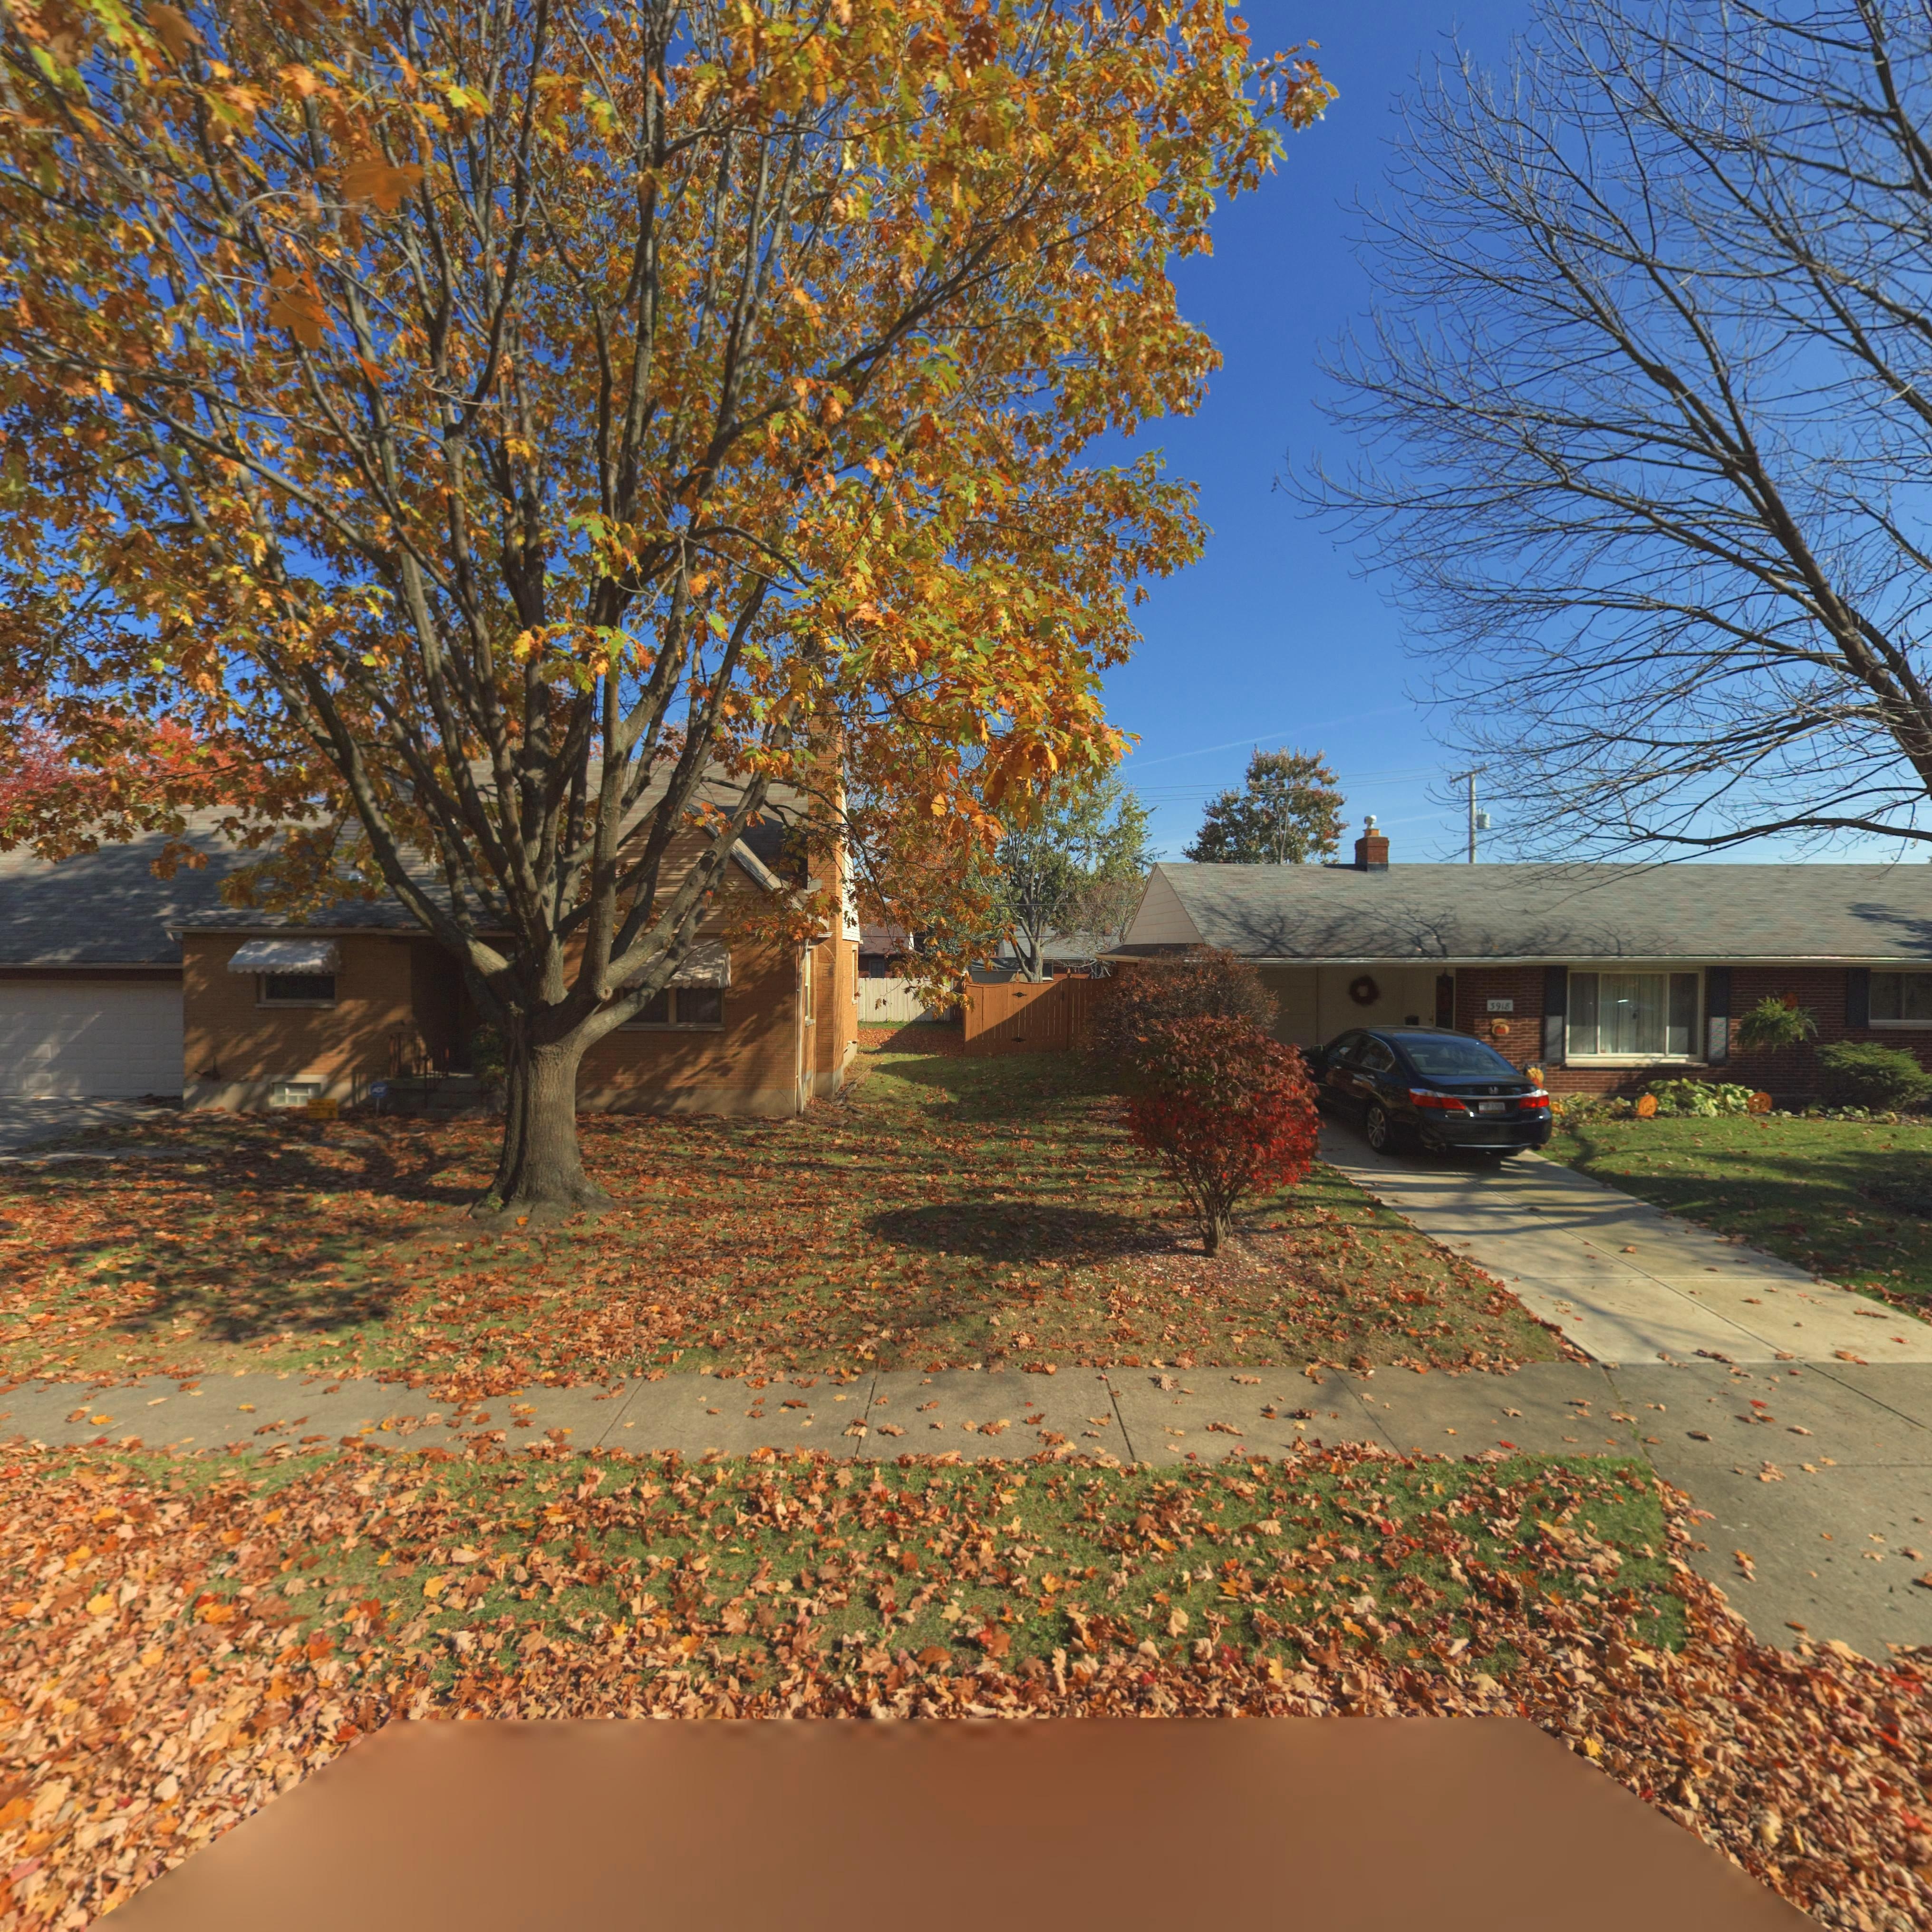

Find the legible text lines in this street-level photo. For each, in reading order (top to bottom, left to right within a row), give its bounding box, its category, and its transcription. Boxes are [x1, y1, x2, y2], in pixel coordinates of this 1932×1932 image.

[1488, 1001, 1511, 1011] StreetNumber: 3918